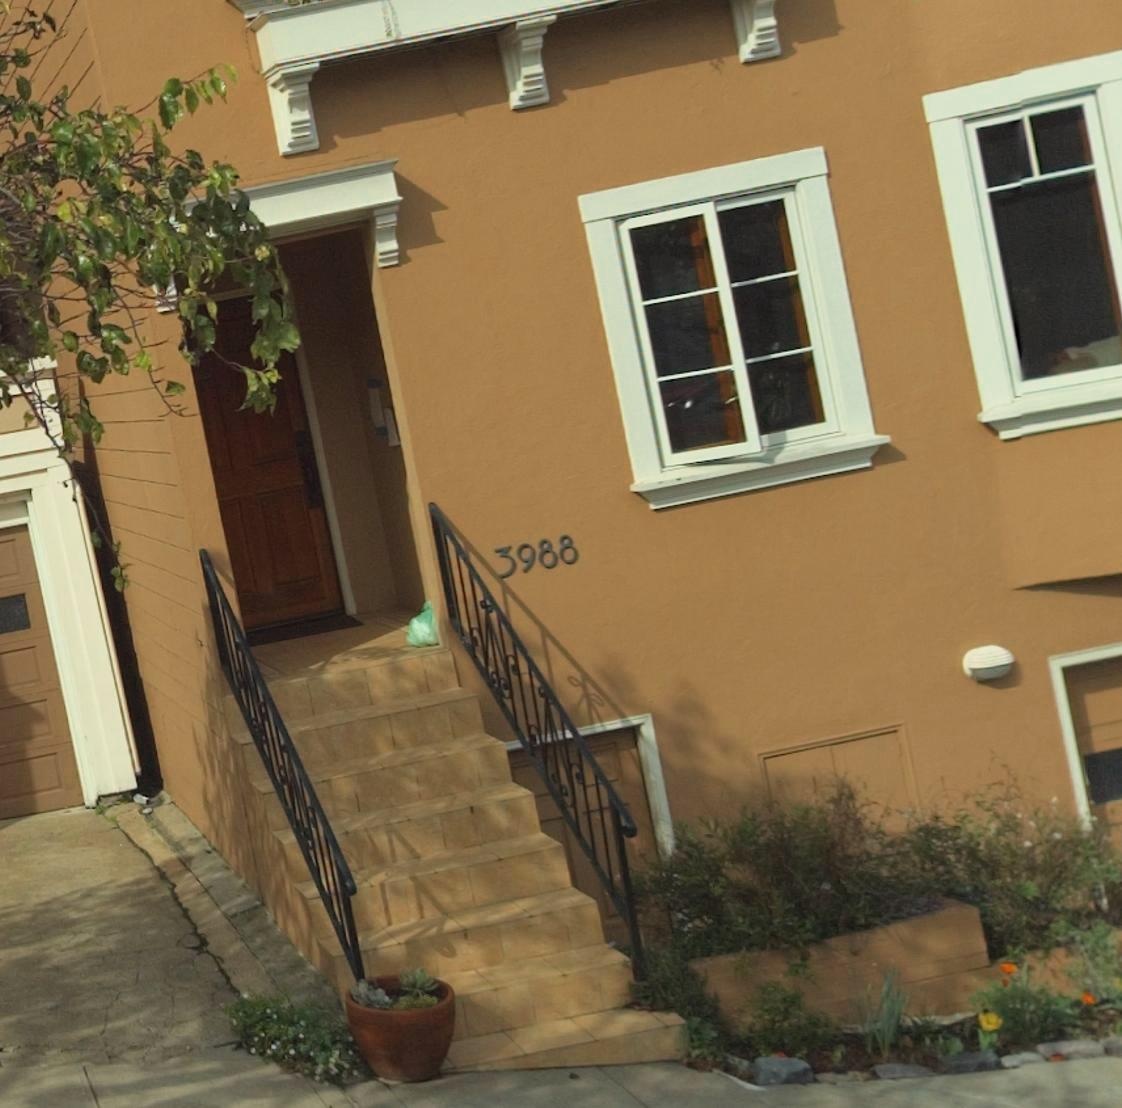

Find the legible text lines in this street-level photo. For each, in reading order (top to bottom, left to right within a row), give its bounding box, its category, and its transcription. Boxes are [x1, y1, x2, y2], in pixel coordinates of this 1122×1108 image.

[492, 533, 580, 580] StreetNumber: 3988